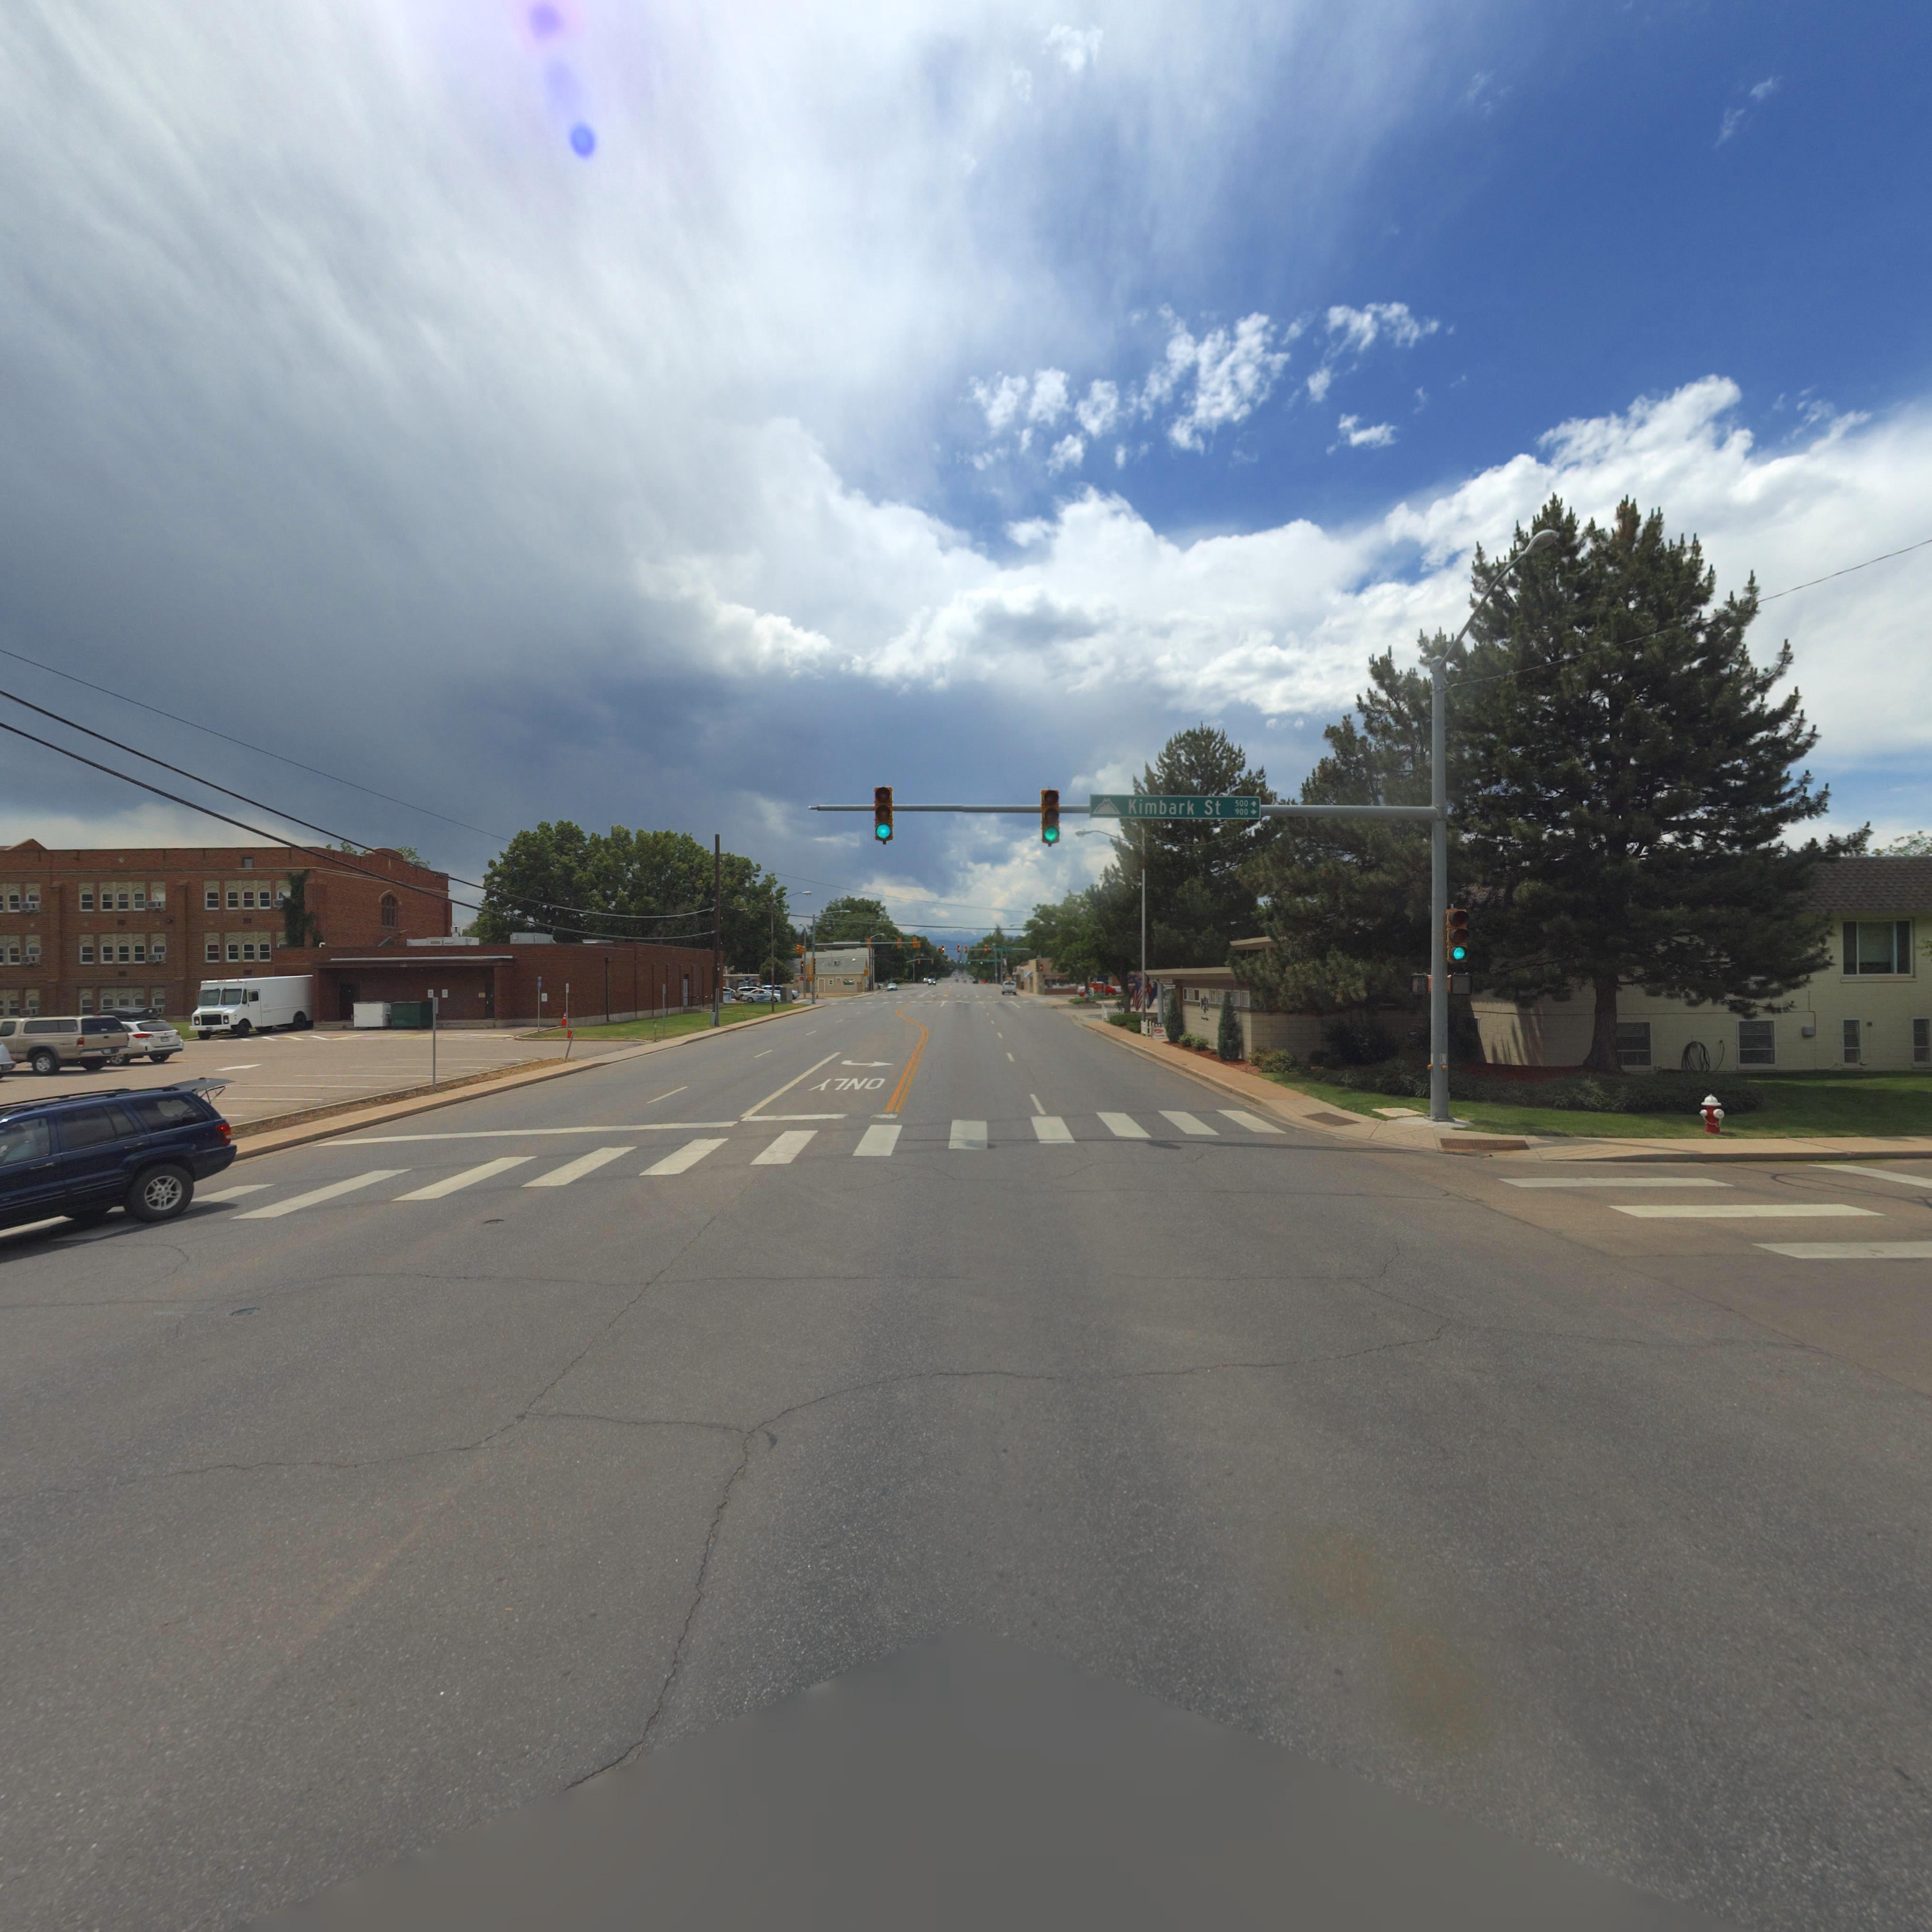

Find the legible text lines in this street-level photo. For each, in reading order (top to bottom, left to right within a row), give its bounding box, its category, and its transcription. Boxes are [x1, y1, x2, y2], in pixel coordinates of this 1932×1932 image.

[1128, 798, 1221, 815] StreetName: Kimbark St
[1235, 800, 1248, 807] StreetNumberRange: 500
[1235, 808, 1257, 815] StreetNumberRange: 900->